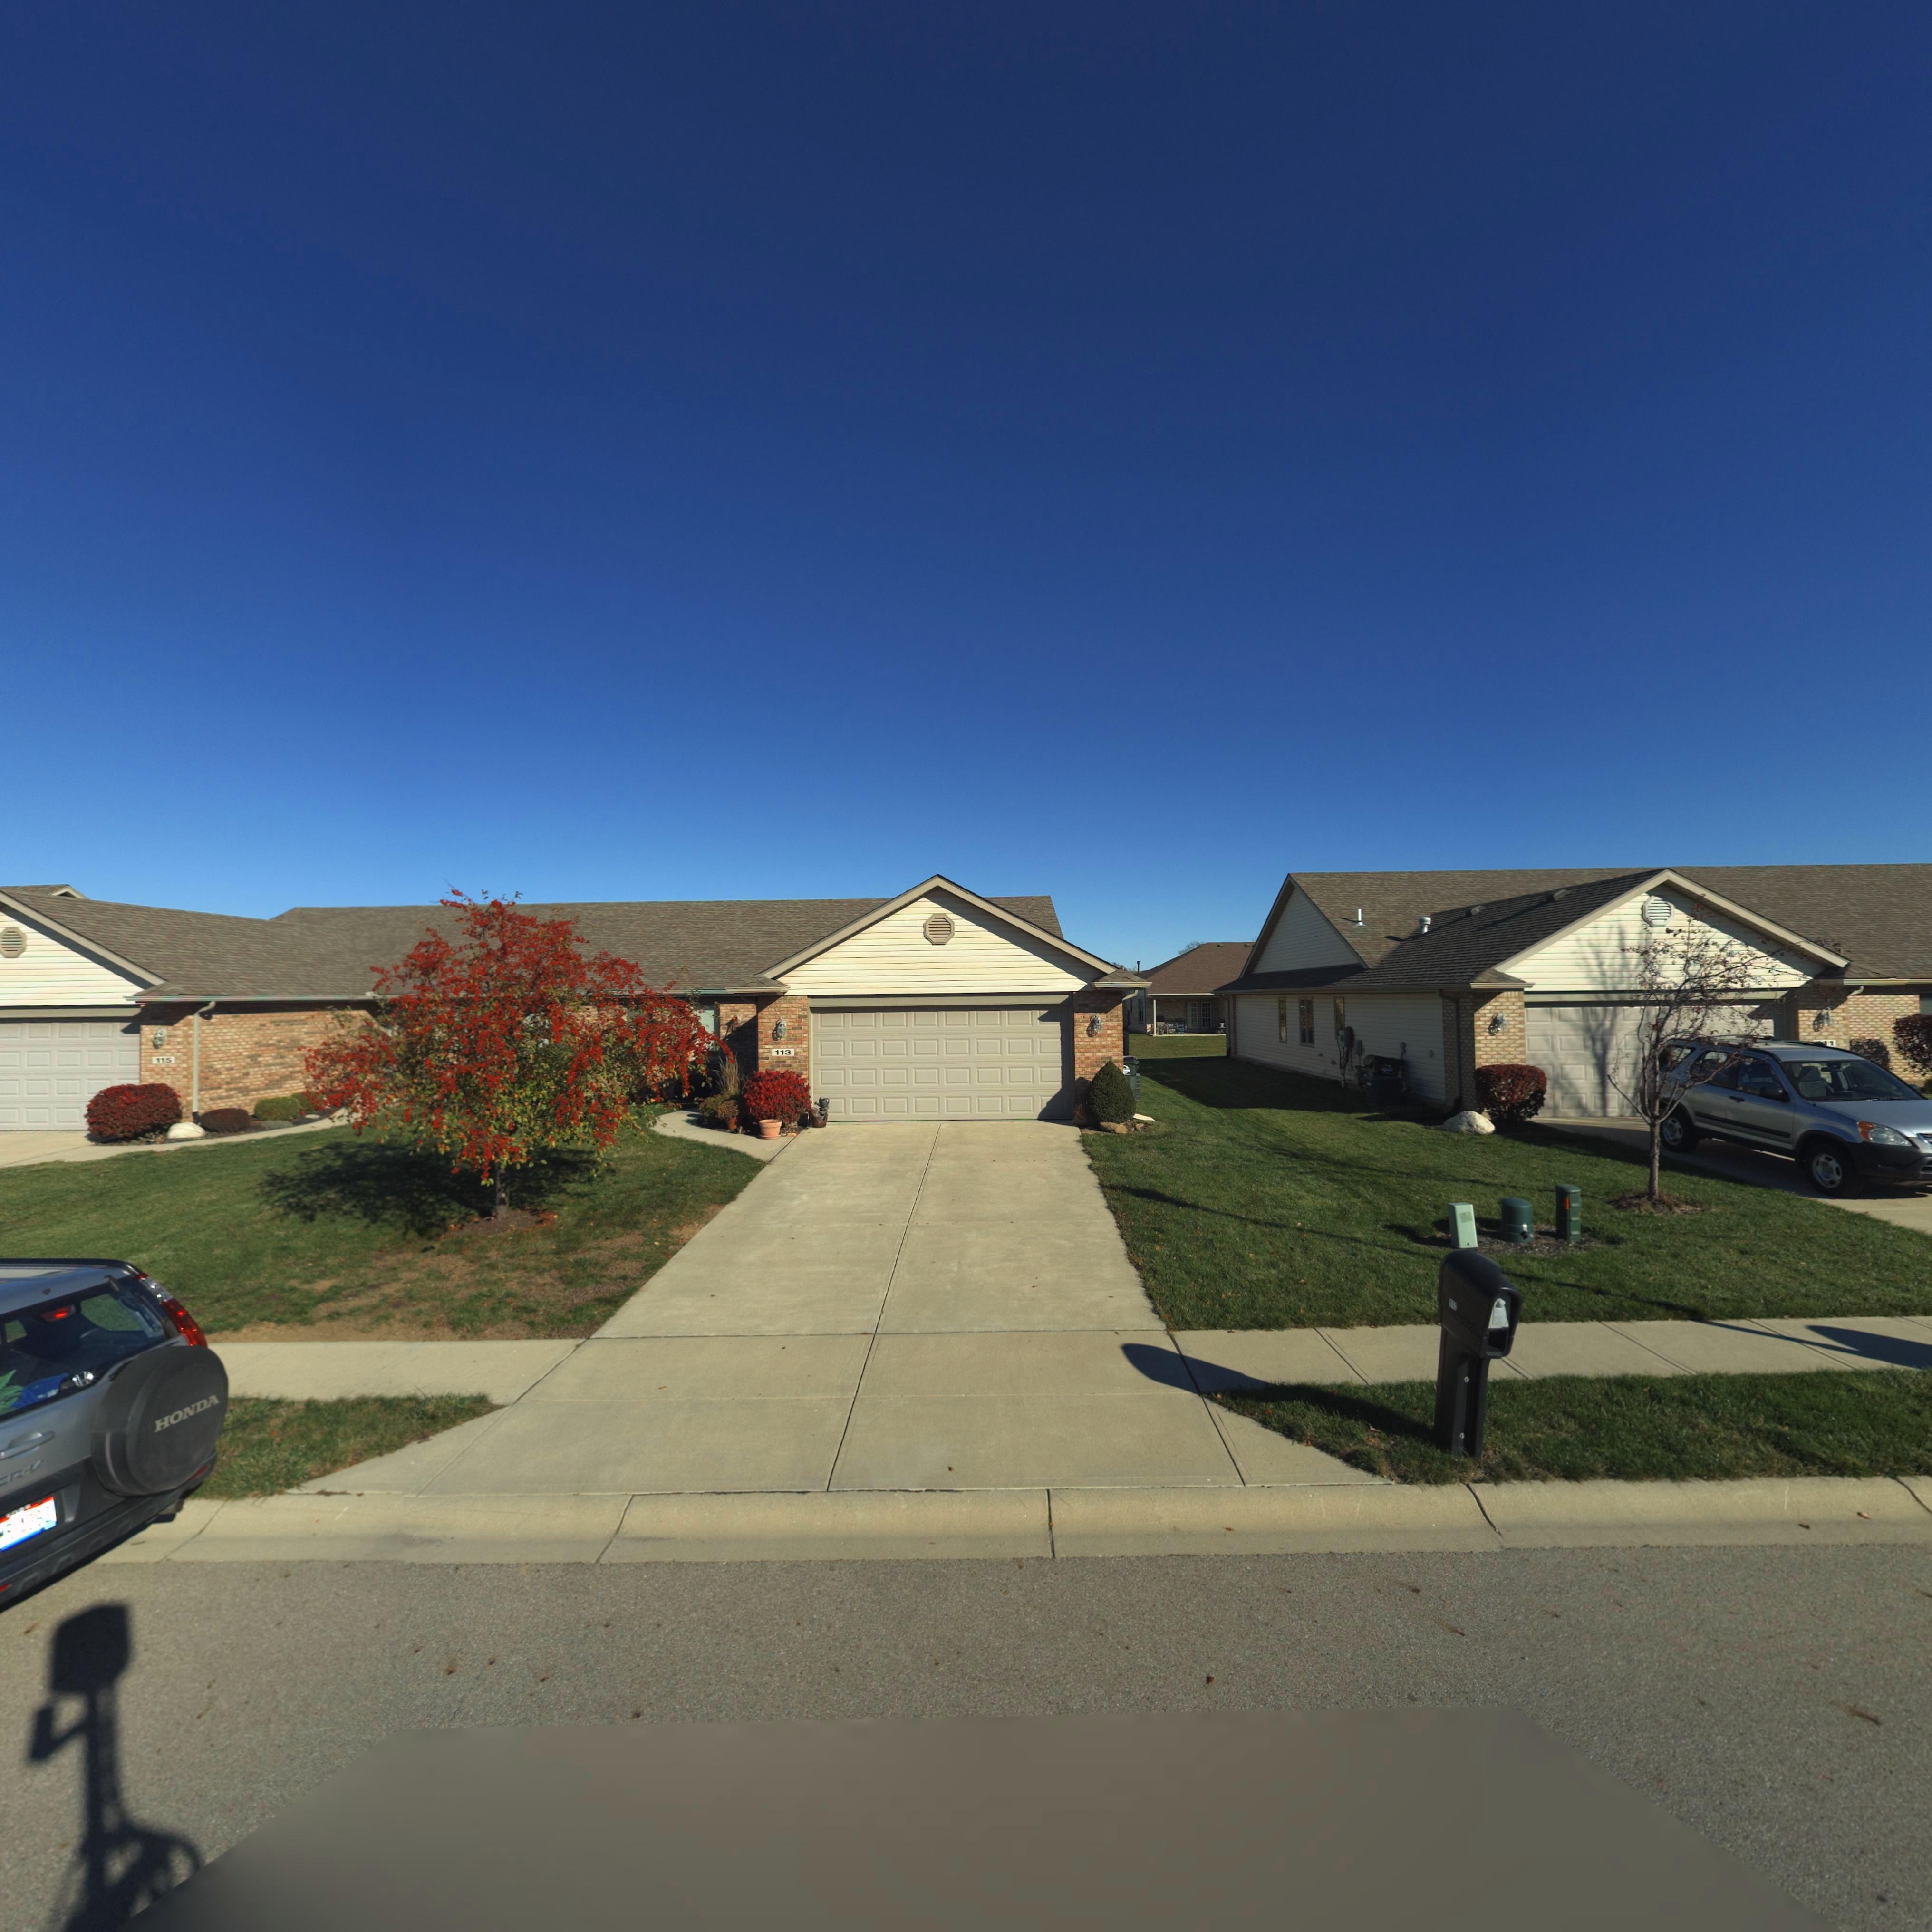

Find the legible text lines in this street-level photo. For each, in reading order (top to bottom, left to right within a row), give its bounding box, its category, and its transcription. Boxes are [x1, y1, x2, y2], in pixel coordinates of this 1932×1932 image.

[1828, 1040, 1835, 1047] StreetNumber: 1
[774, 1049, 792, 1056] StreetNumber: 113
[155, 1057, 173, 1064] StreetNumber: 115